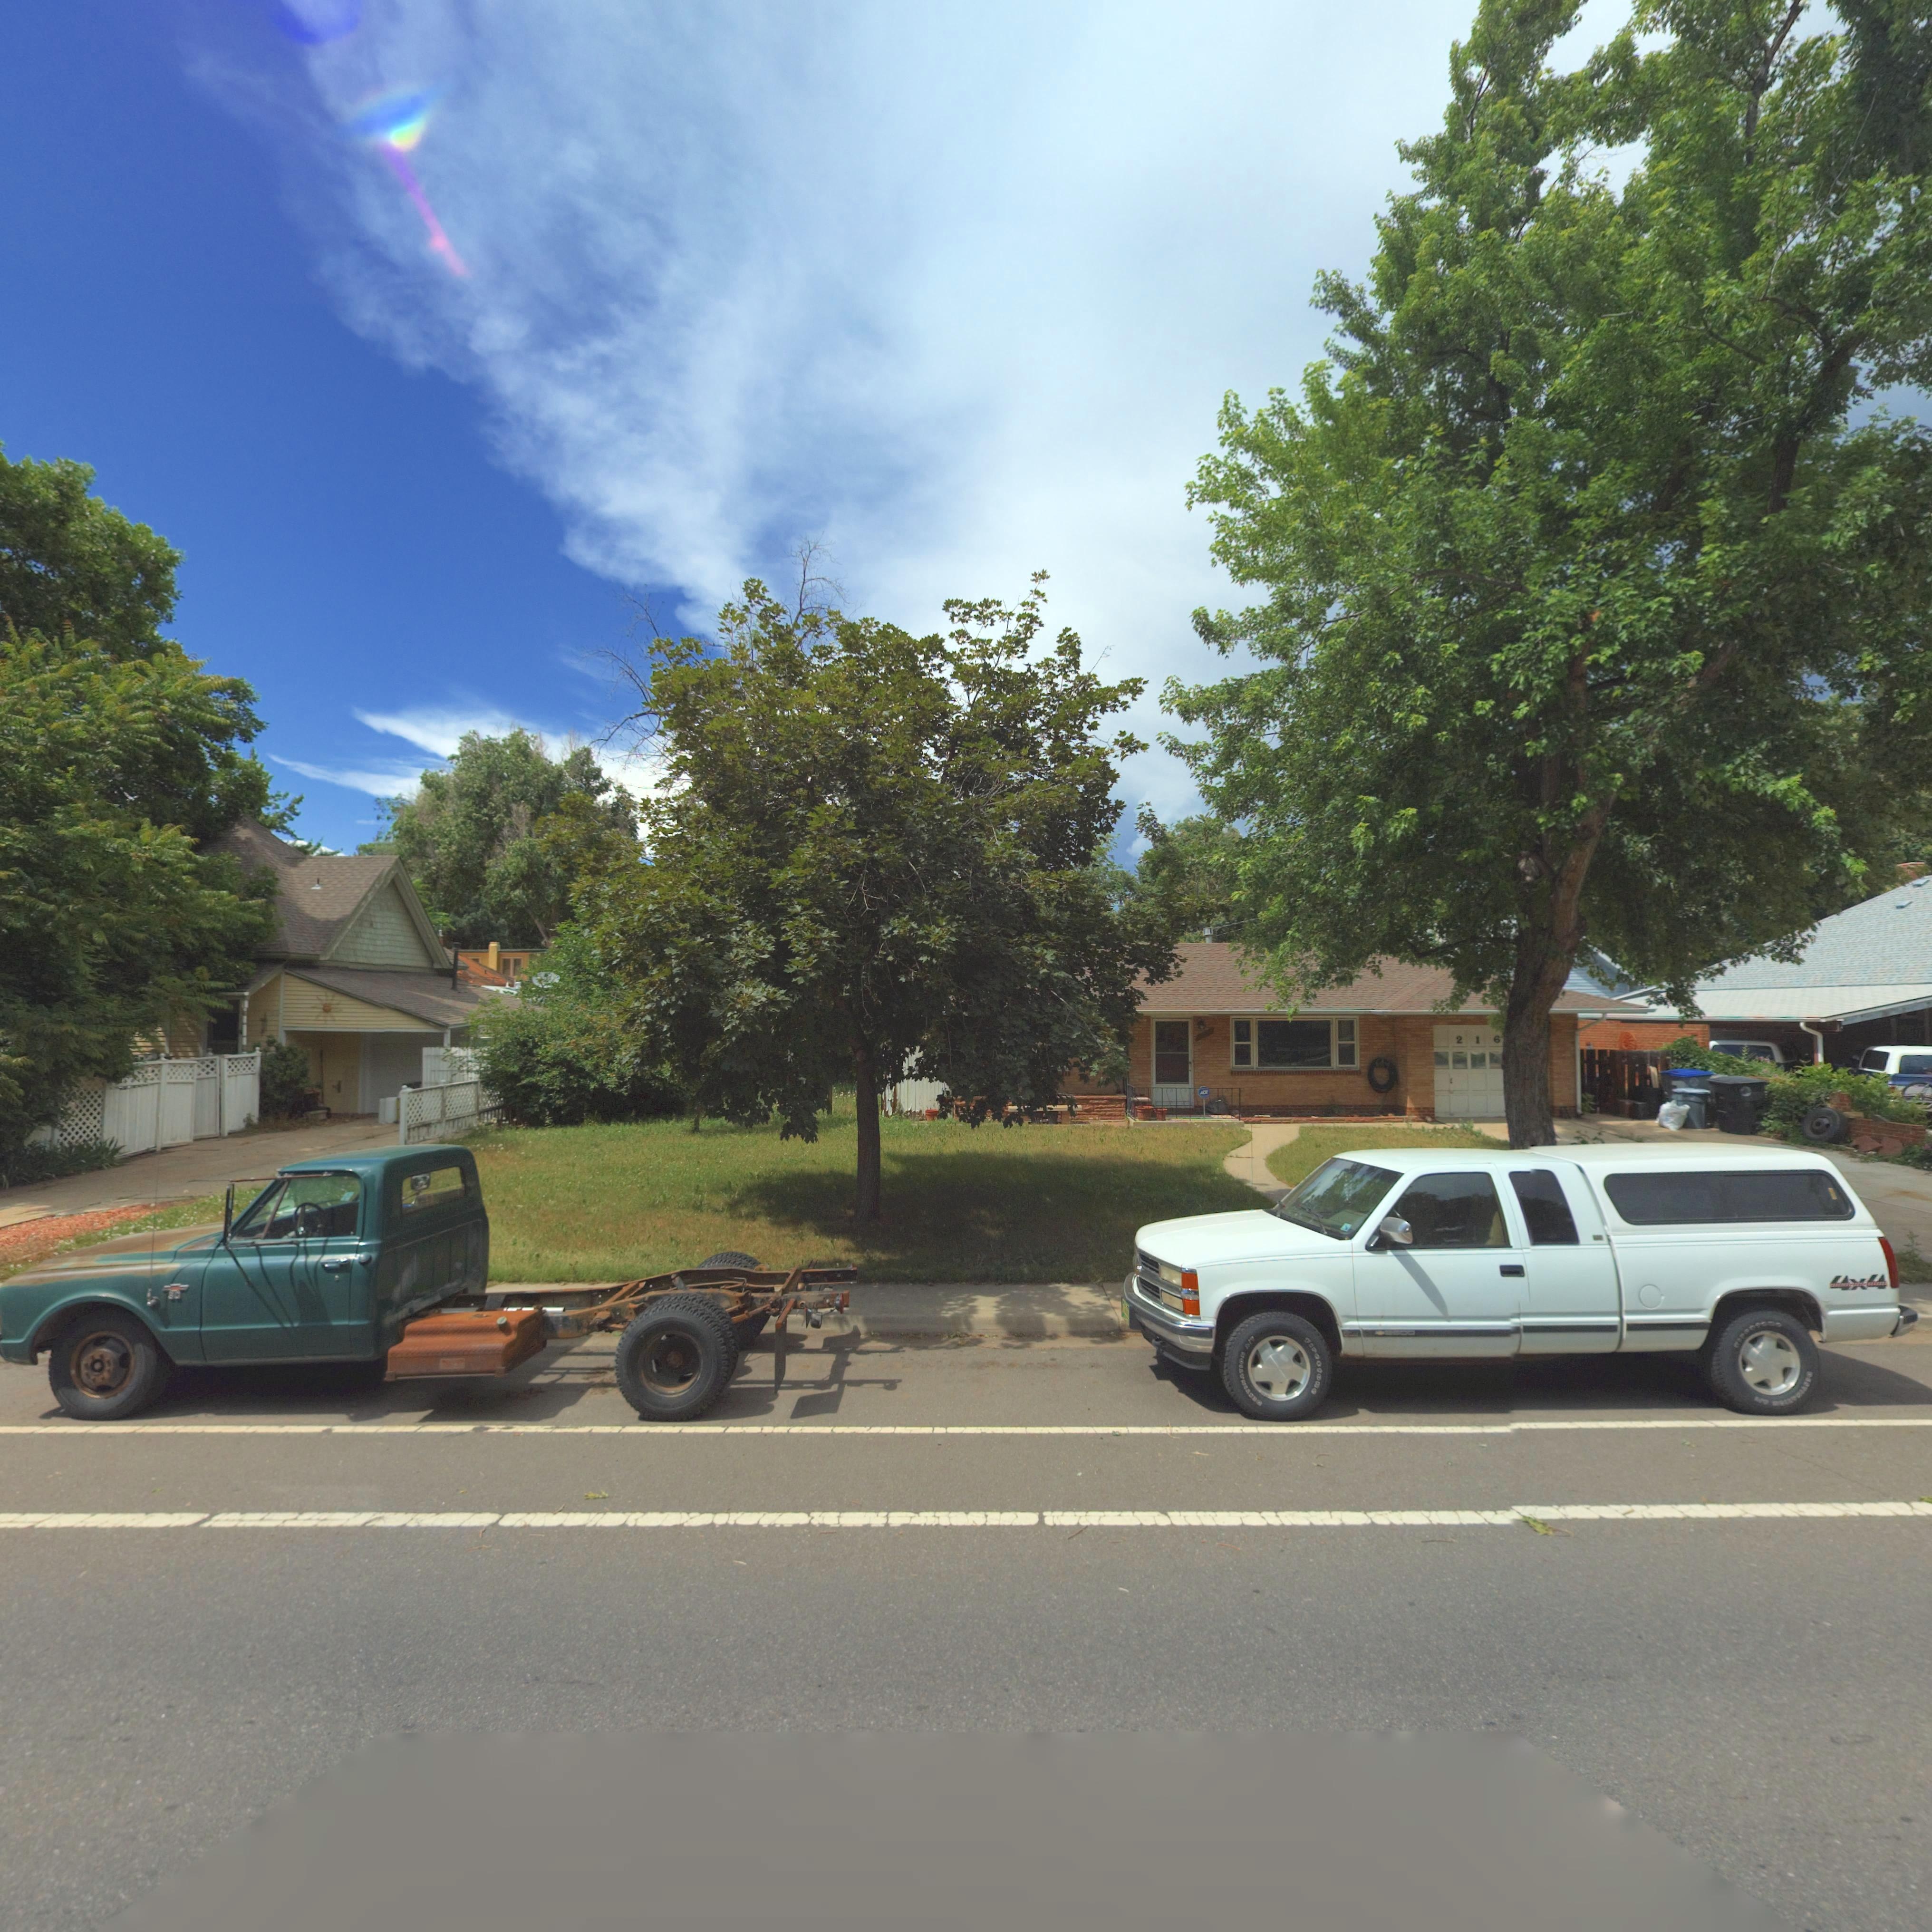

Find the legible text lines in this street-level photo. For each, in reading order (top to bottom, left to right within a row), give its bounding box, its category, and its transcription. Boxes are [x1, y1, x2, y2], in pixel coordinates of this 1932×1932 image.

[1454, 1034, 1500, 1044] StreetNumber: 216